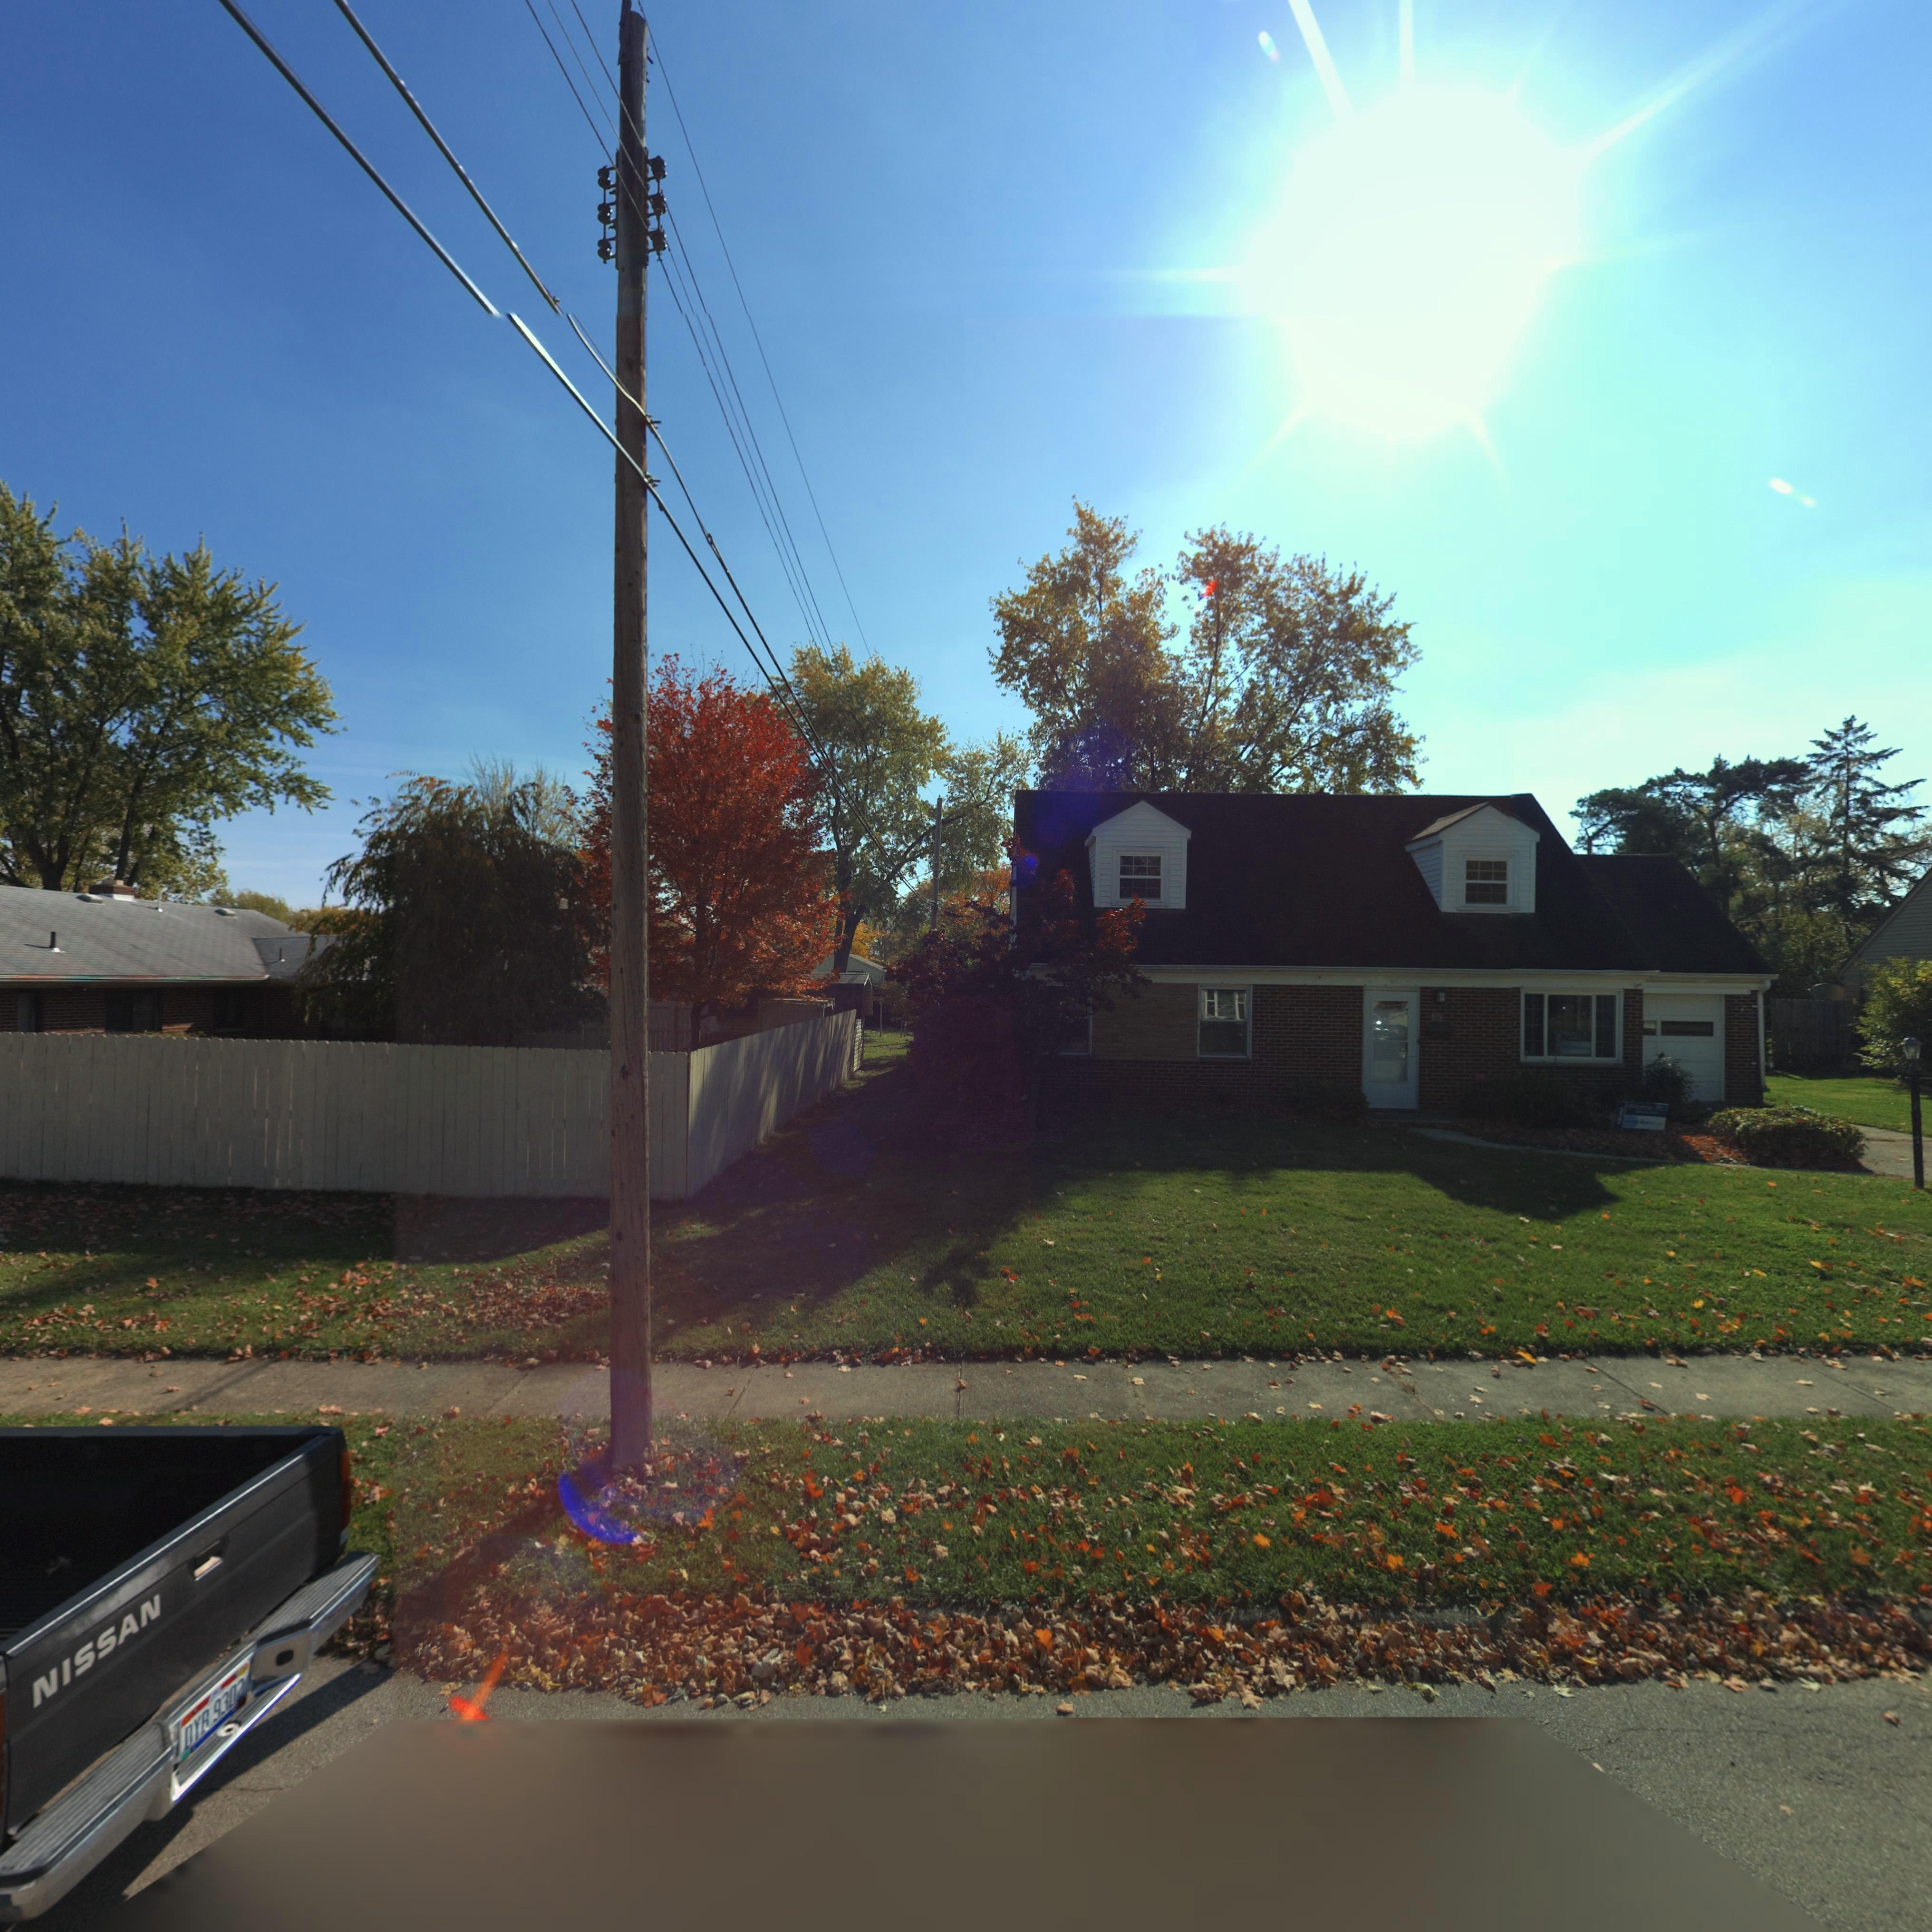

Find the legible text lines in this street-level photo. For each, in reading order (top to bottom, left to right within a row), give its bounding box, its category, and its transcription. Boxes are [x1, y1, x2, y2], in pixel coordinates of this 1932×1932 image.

[30, 1591, 163, 1712] None: NISSAN
[182, 1675, 247, 1754] None: DYB 930*